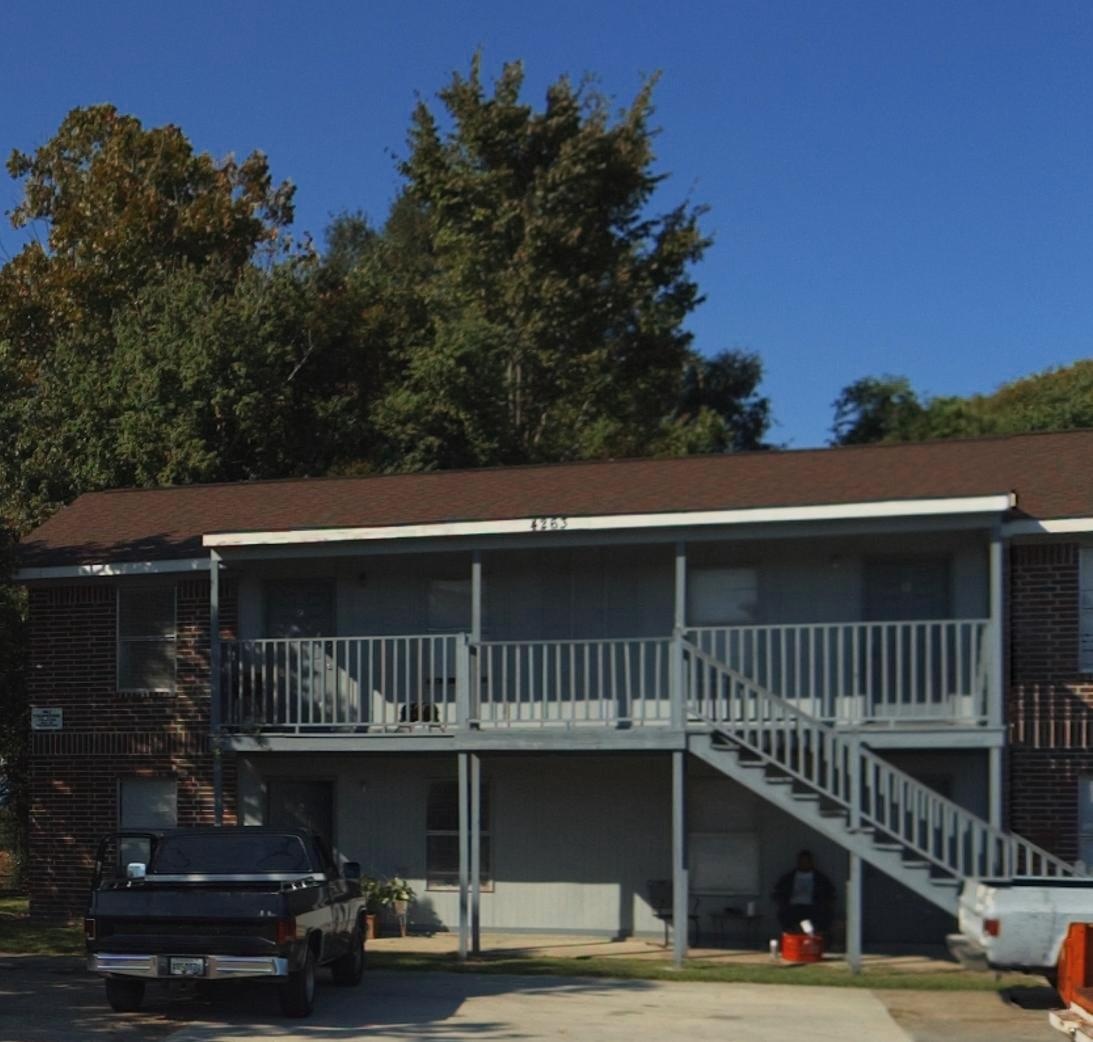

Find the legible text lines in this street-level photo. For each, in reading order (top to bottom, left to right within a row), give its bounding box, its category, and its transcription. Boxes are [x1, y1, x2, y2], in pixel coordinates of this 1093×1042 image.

[529, 516, 569, 532] StreetNumber: 4263